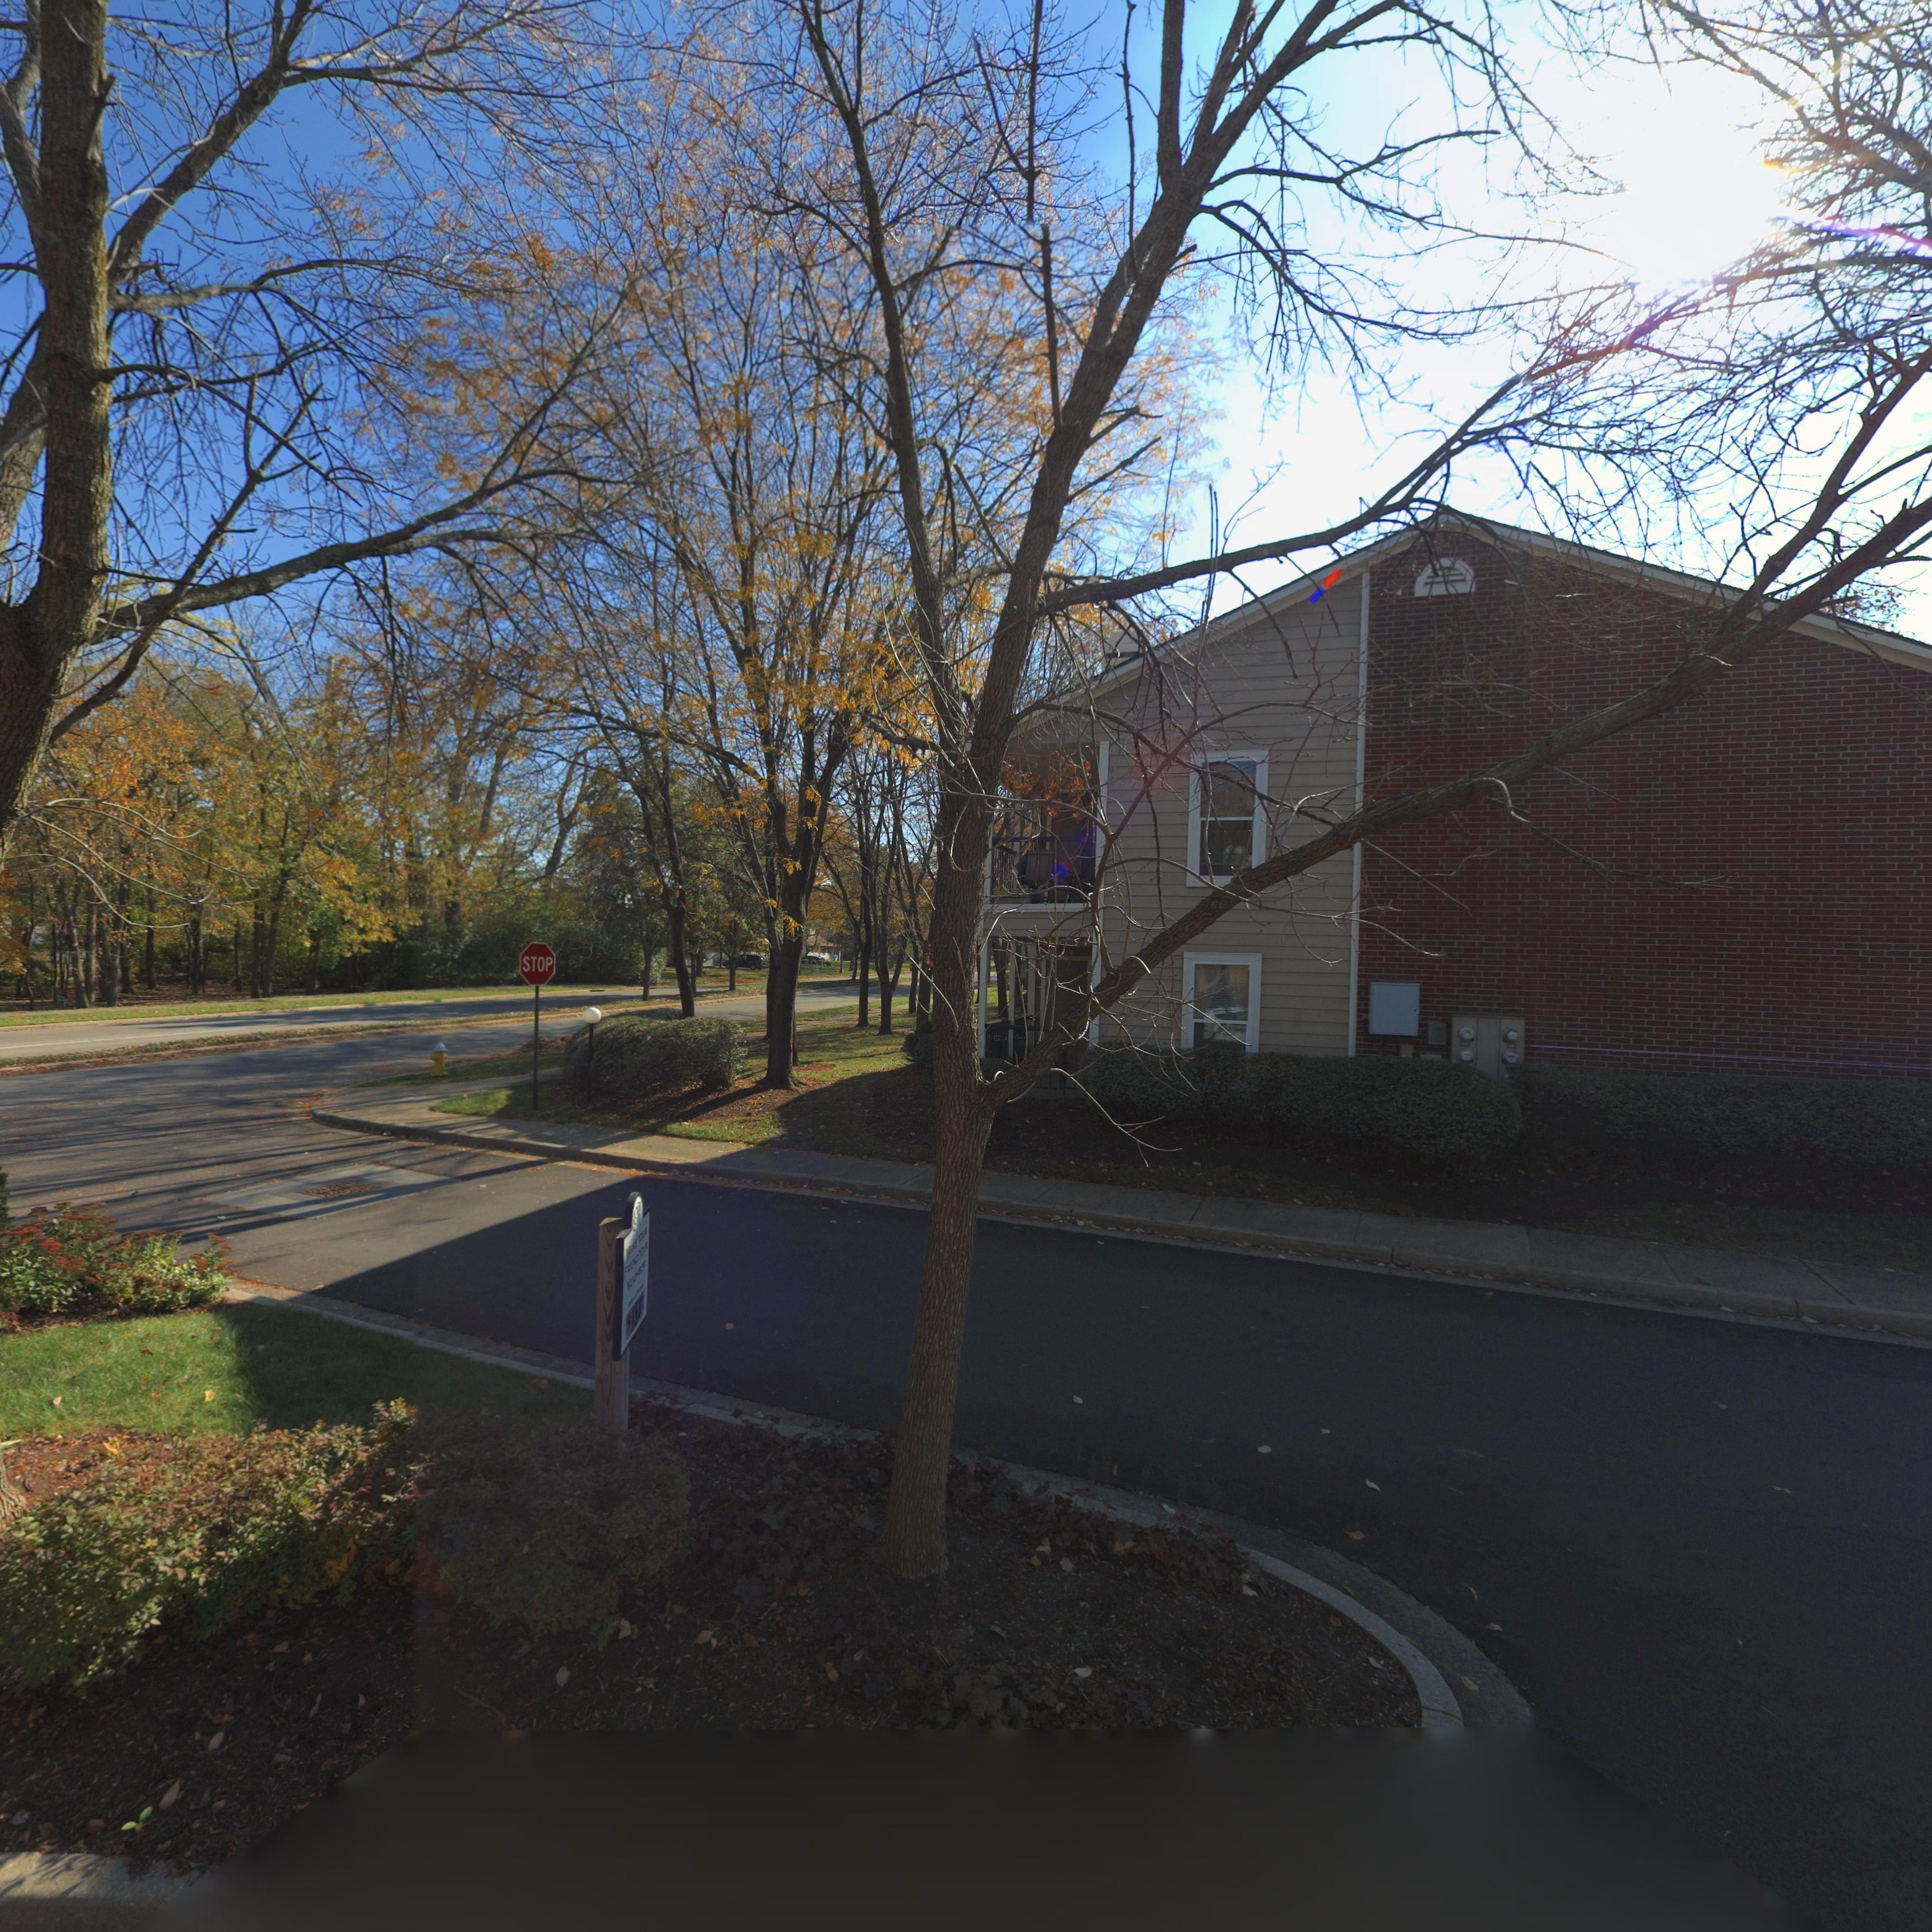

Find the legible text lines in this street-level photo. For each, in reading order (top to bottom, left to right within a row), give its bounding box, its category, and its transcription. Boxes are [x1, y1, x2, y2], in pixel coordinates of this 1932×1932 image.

[521, 954, 554, 974] None: STOP